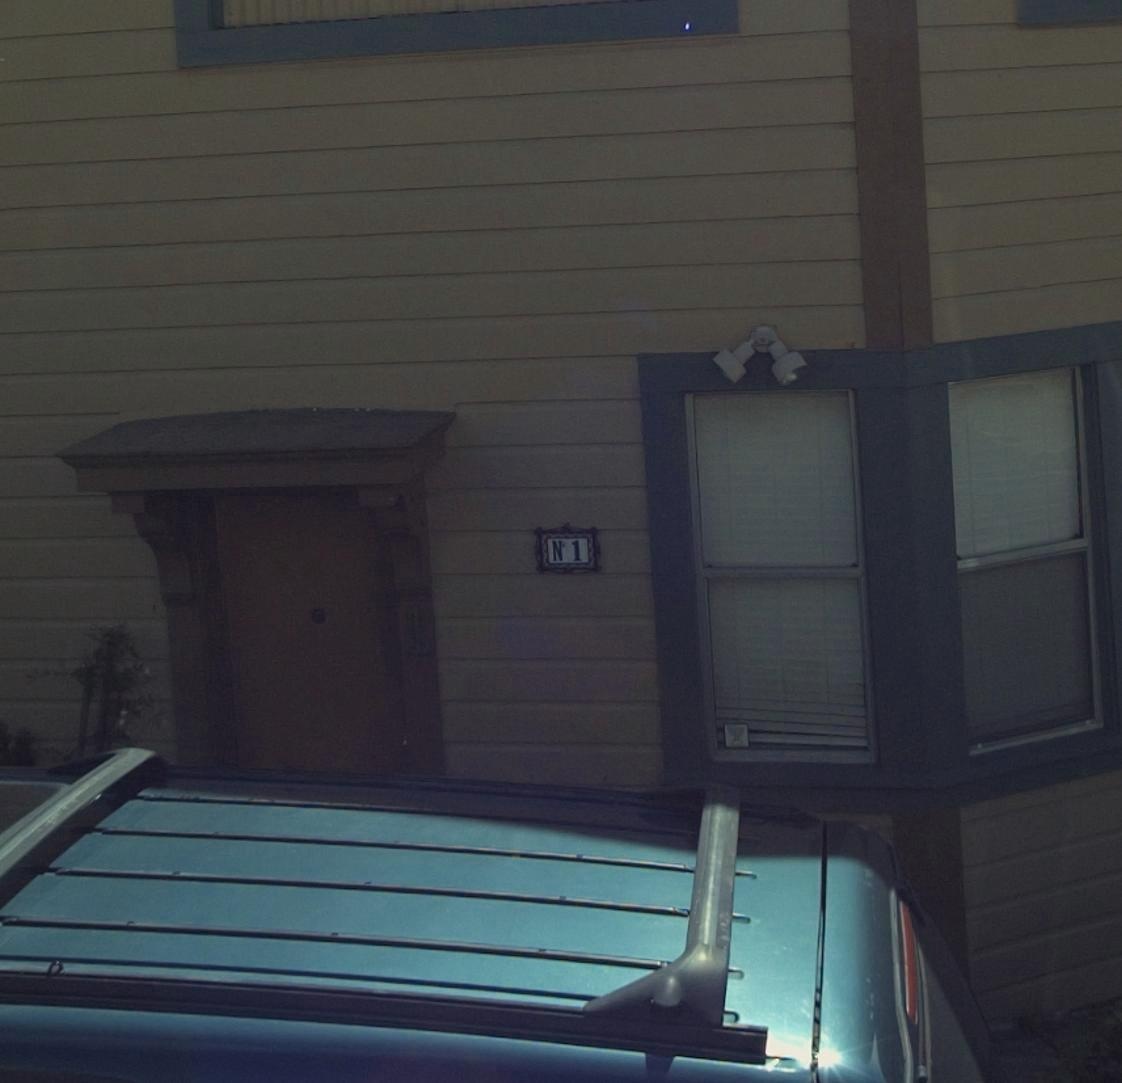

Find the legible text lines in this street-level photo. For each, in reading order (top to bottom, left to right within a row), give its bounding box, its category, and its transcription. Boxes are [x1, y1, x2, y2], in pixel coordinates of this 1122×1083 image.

[547, 538, 588, 563] StreetNumber: N 1